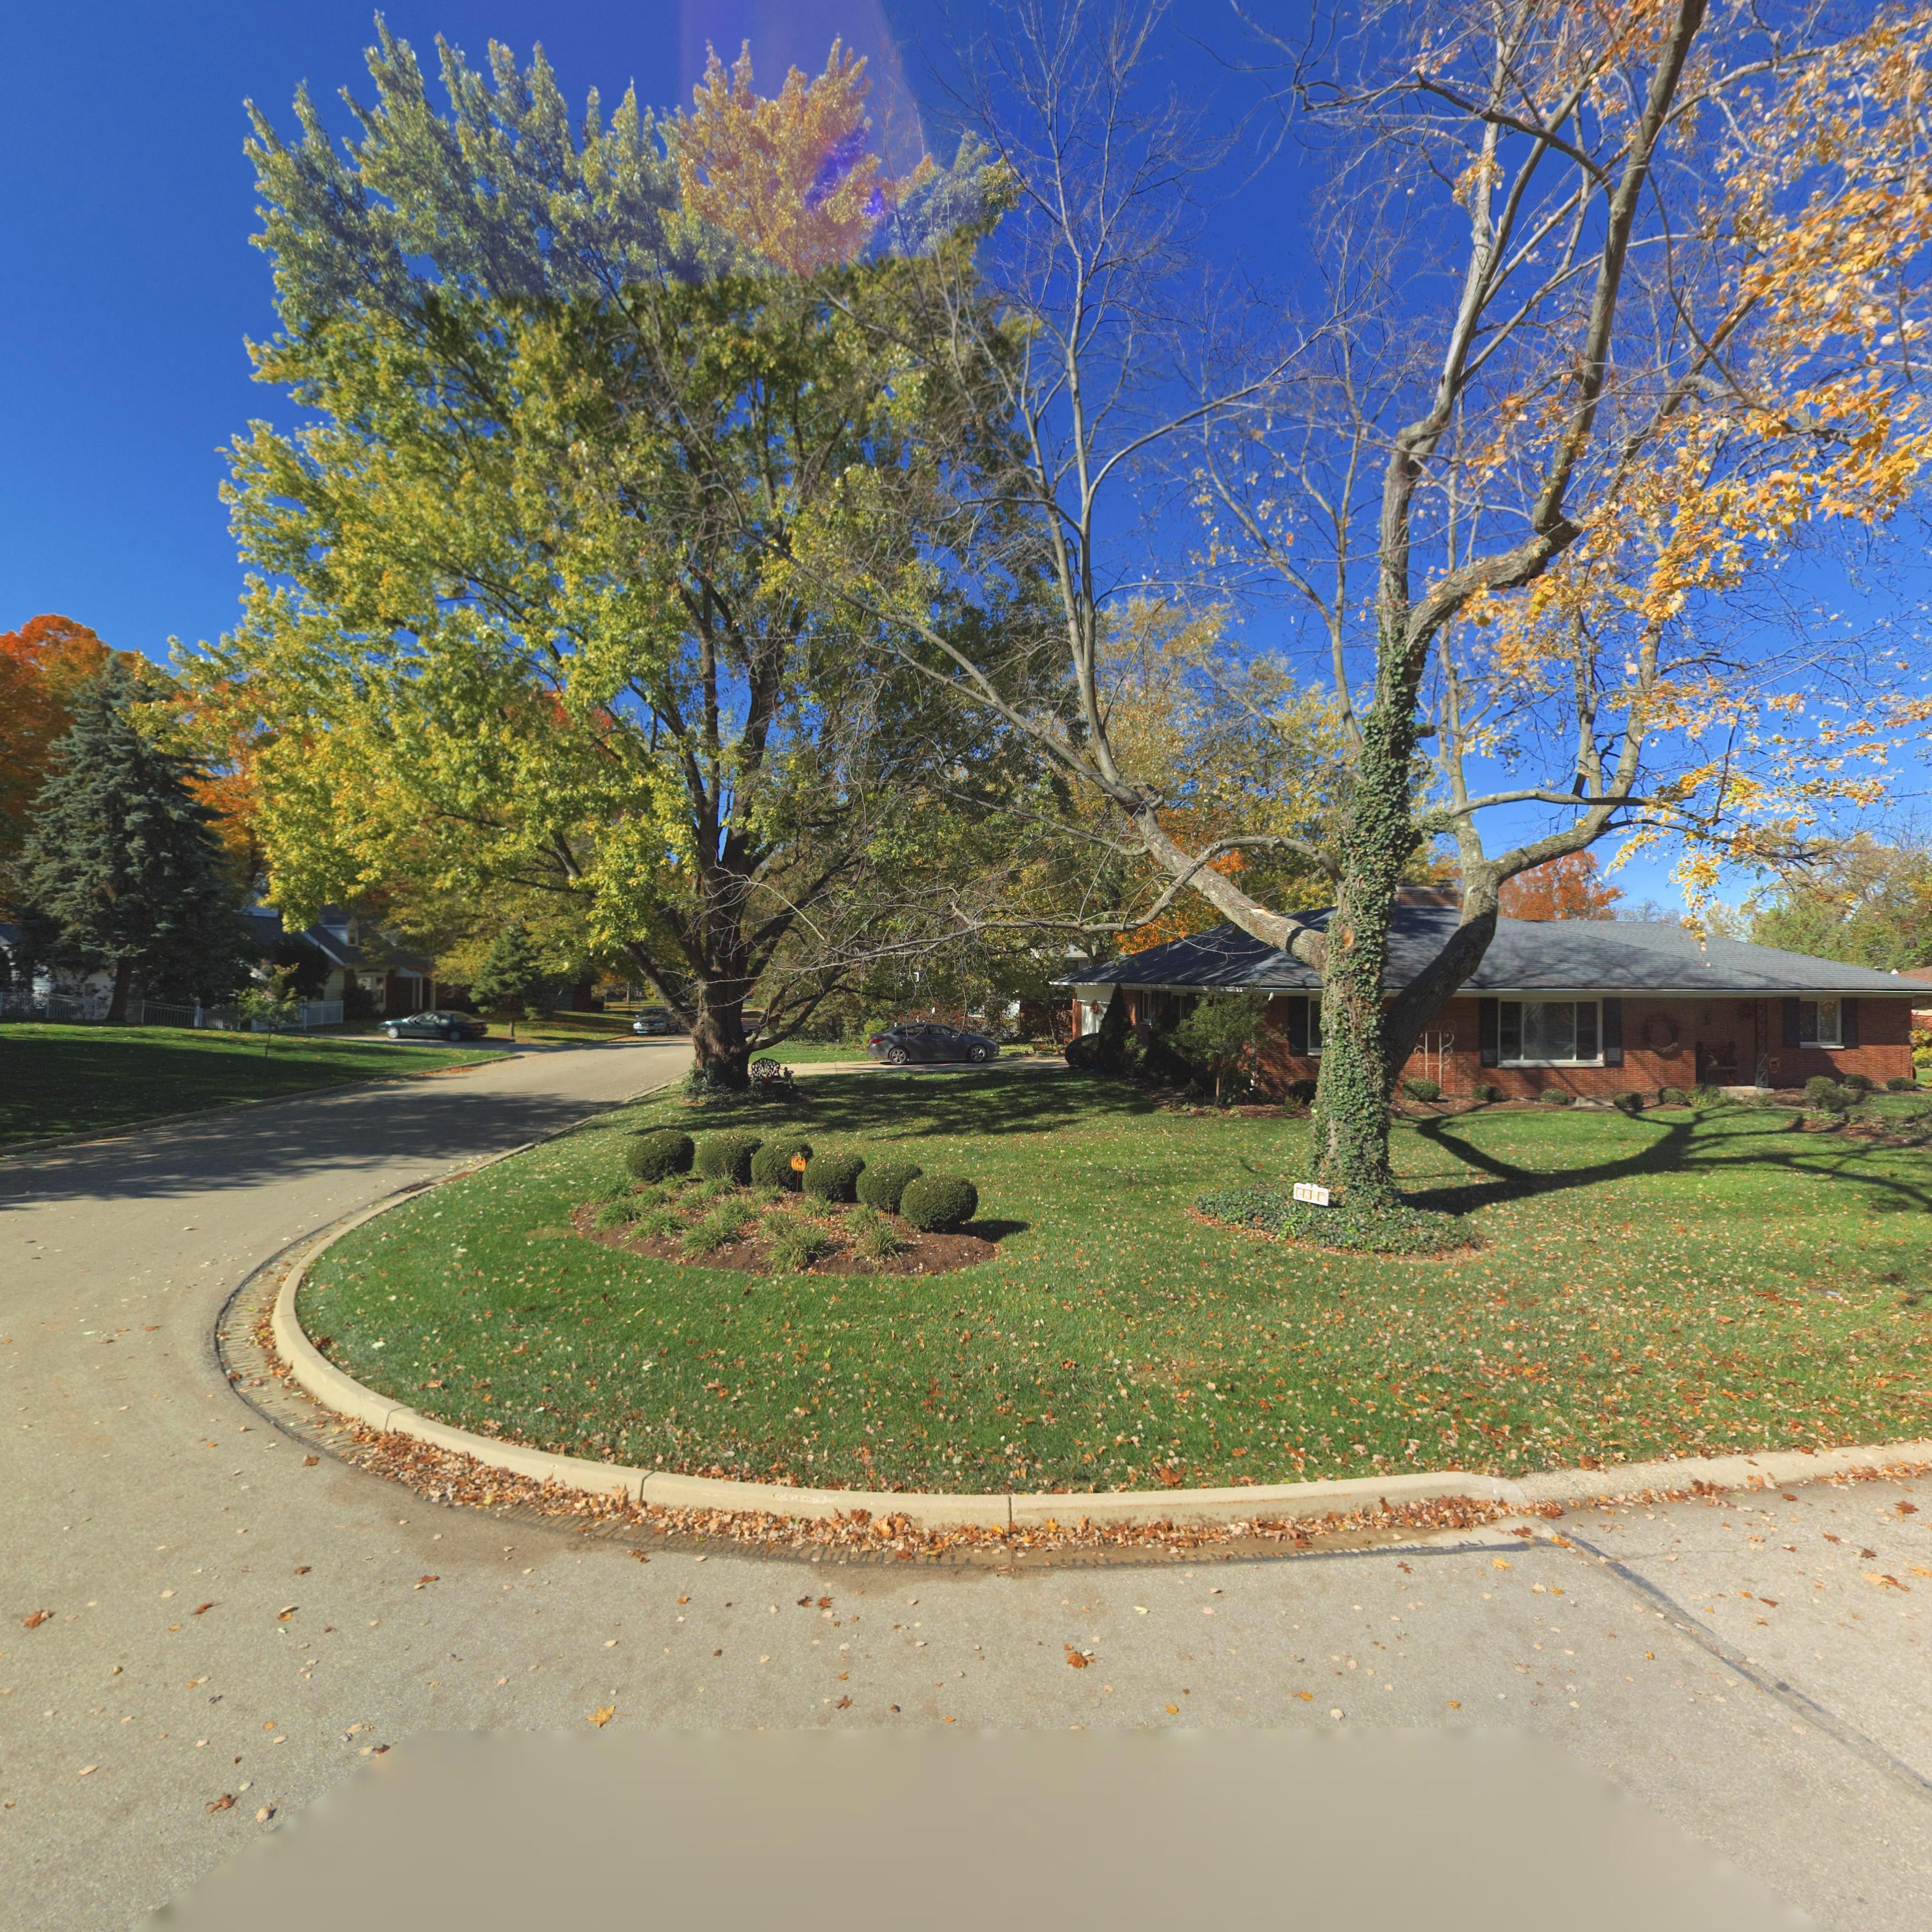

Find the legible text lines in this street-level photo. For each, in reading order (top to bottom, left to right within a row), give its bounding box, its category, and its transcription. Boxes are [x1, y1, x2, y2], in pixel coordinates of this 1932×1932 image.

[1297, 1188, 1325, 1203] StreetNumber: *287